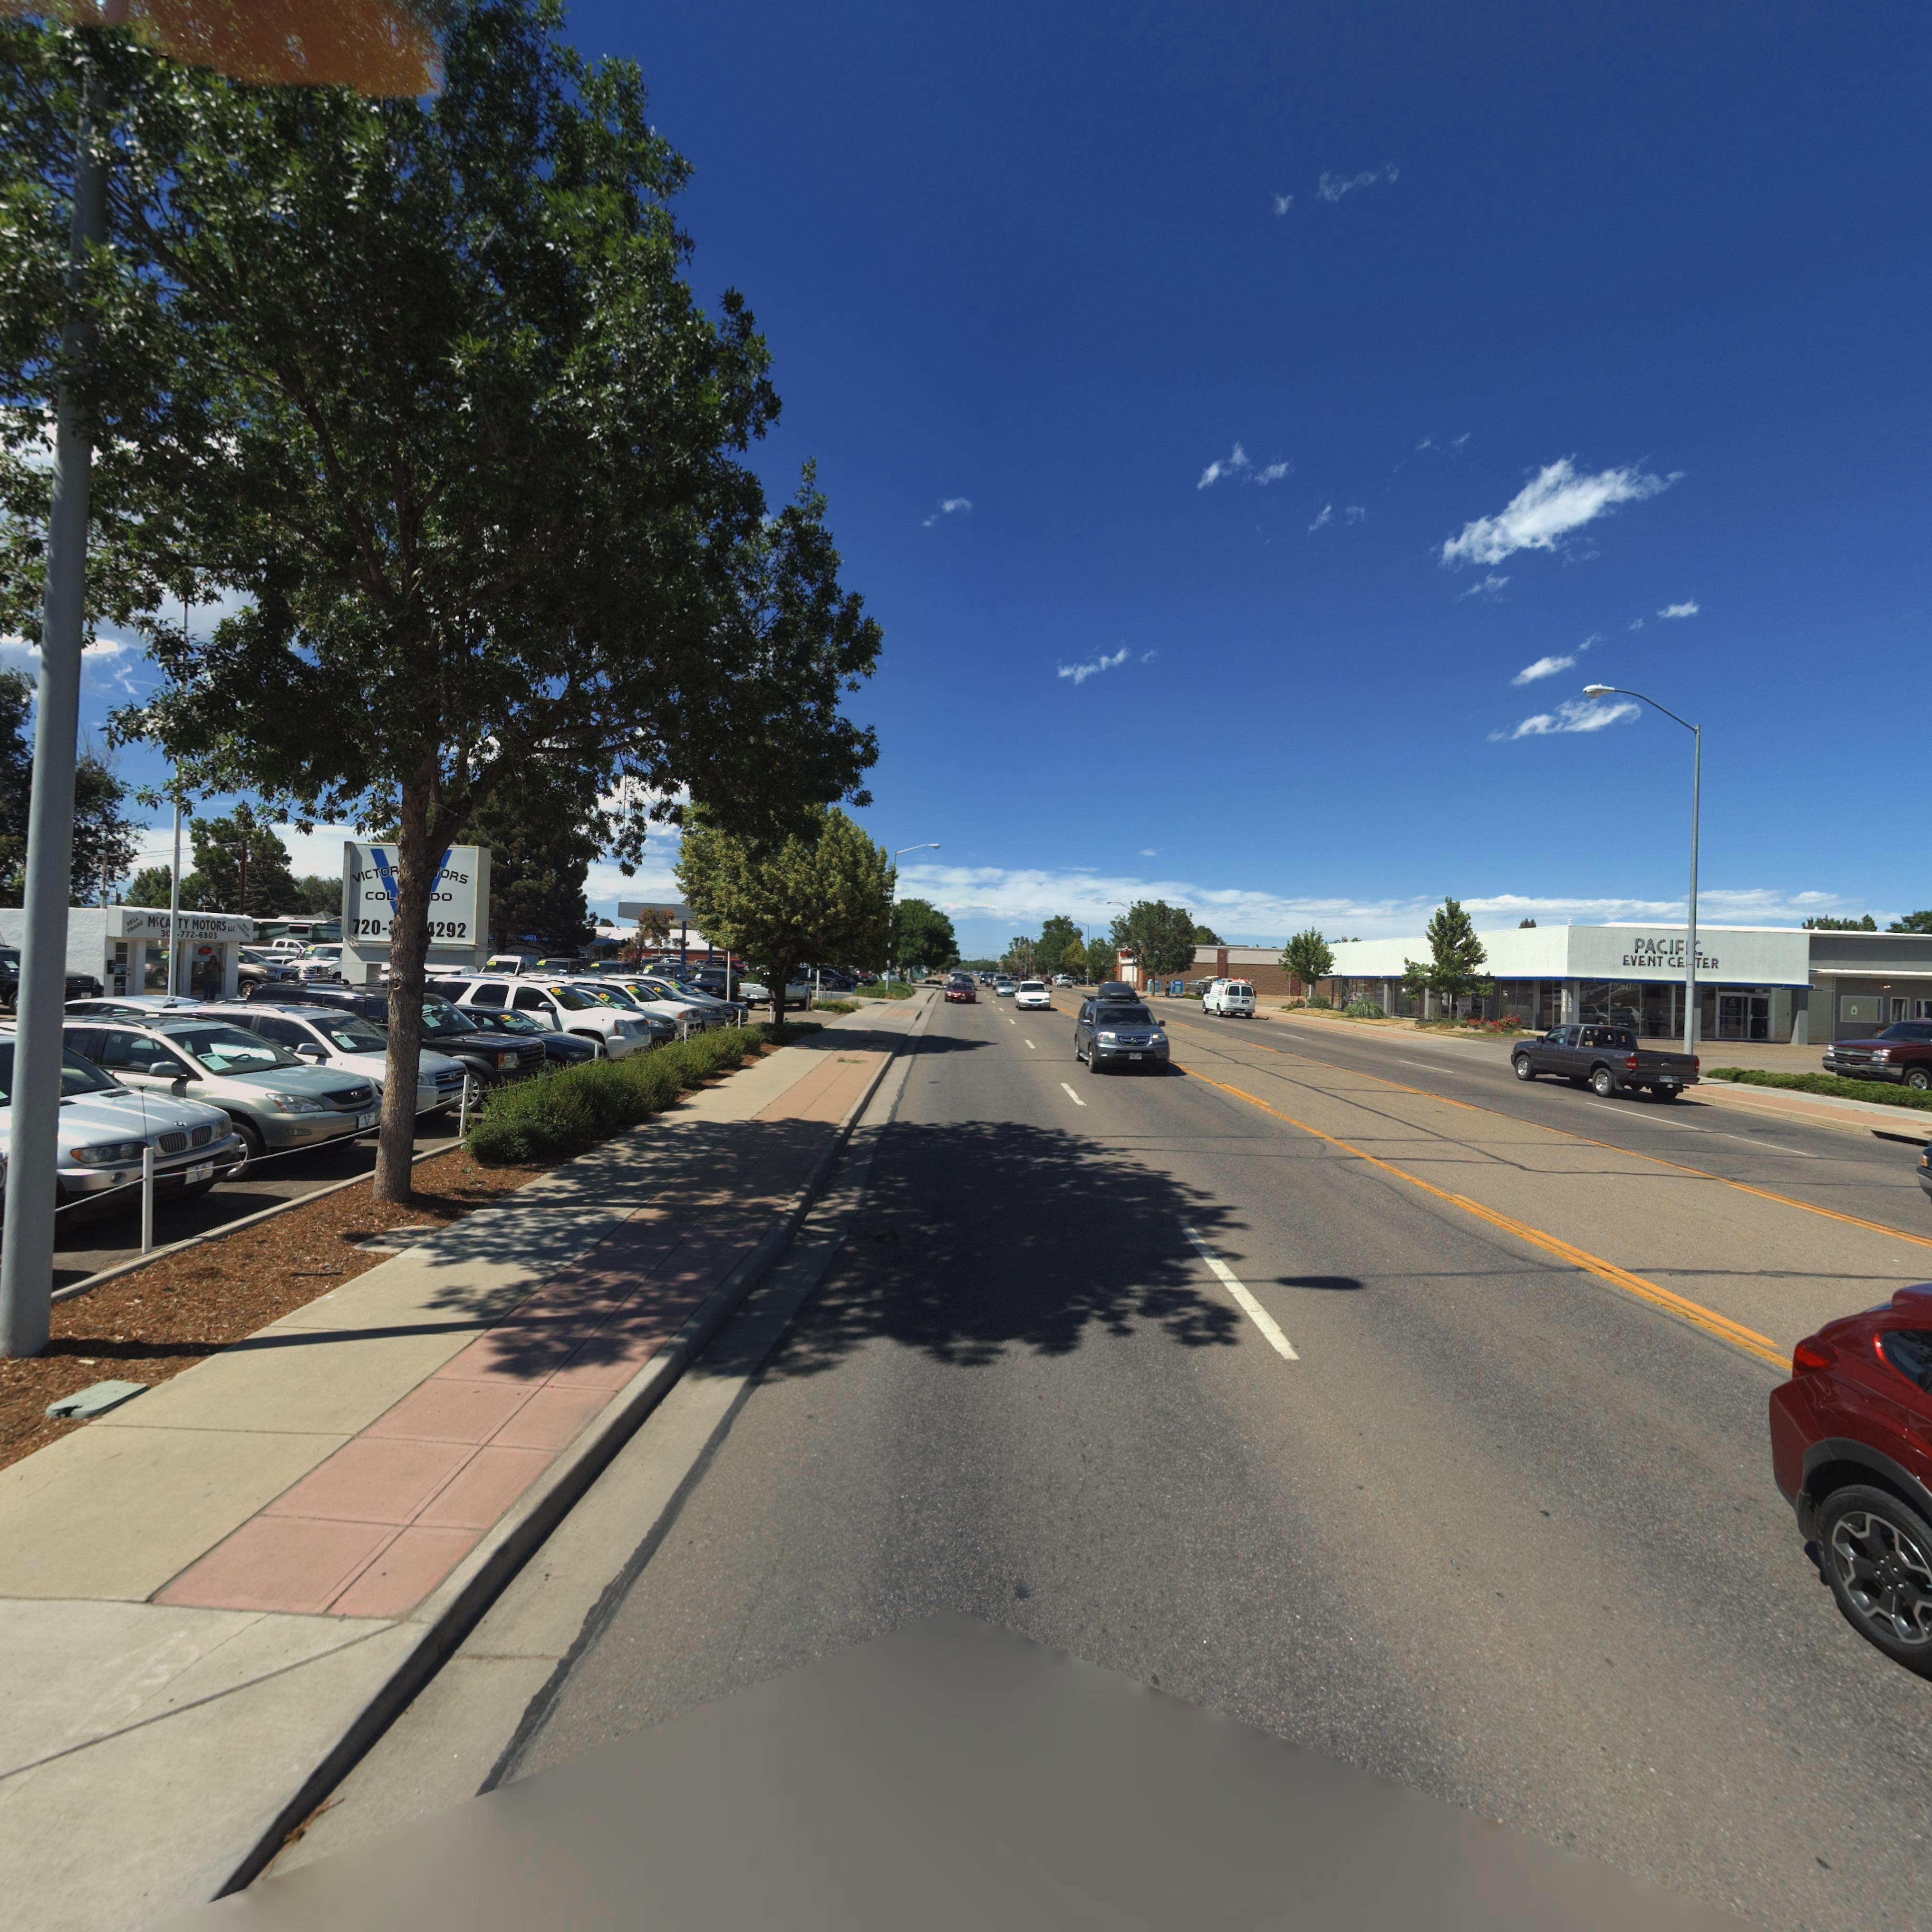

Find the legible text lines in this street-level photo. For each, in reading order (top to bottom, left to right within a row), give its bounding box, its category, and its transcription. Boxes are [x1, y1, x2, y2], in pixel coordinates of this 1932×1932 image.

[351, 865, 469, 887] BusinessName: VICTOR* ***ORS
[147, 916, 226, 931] BusinessName: McCA*TY MOTORS
[228, 926, 235, 931] BusinessName: LLC
[1634, 937, 1703, 955] BusinessName: PACIF*C
[1623, 955, 1719, 969] BusinessName: EVENT CENTER
[1562, 991, 1565, 1012] StreetNumber: 1330
[1567, 992, 1572, 1012] StreetNumber: 1330